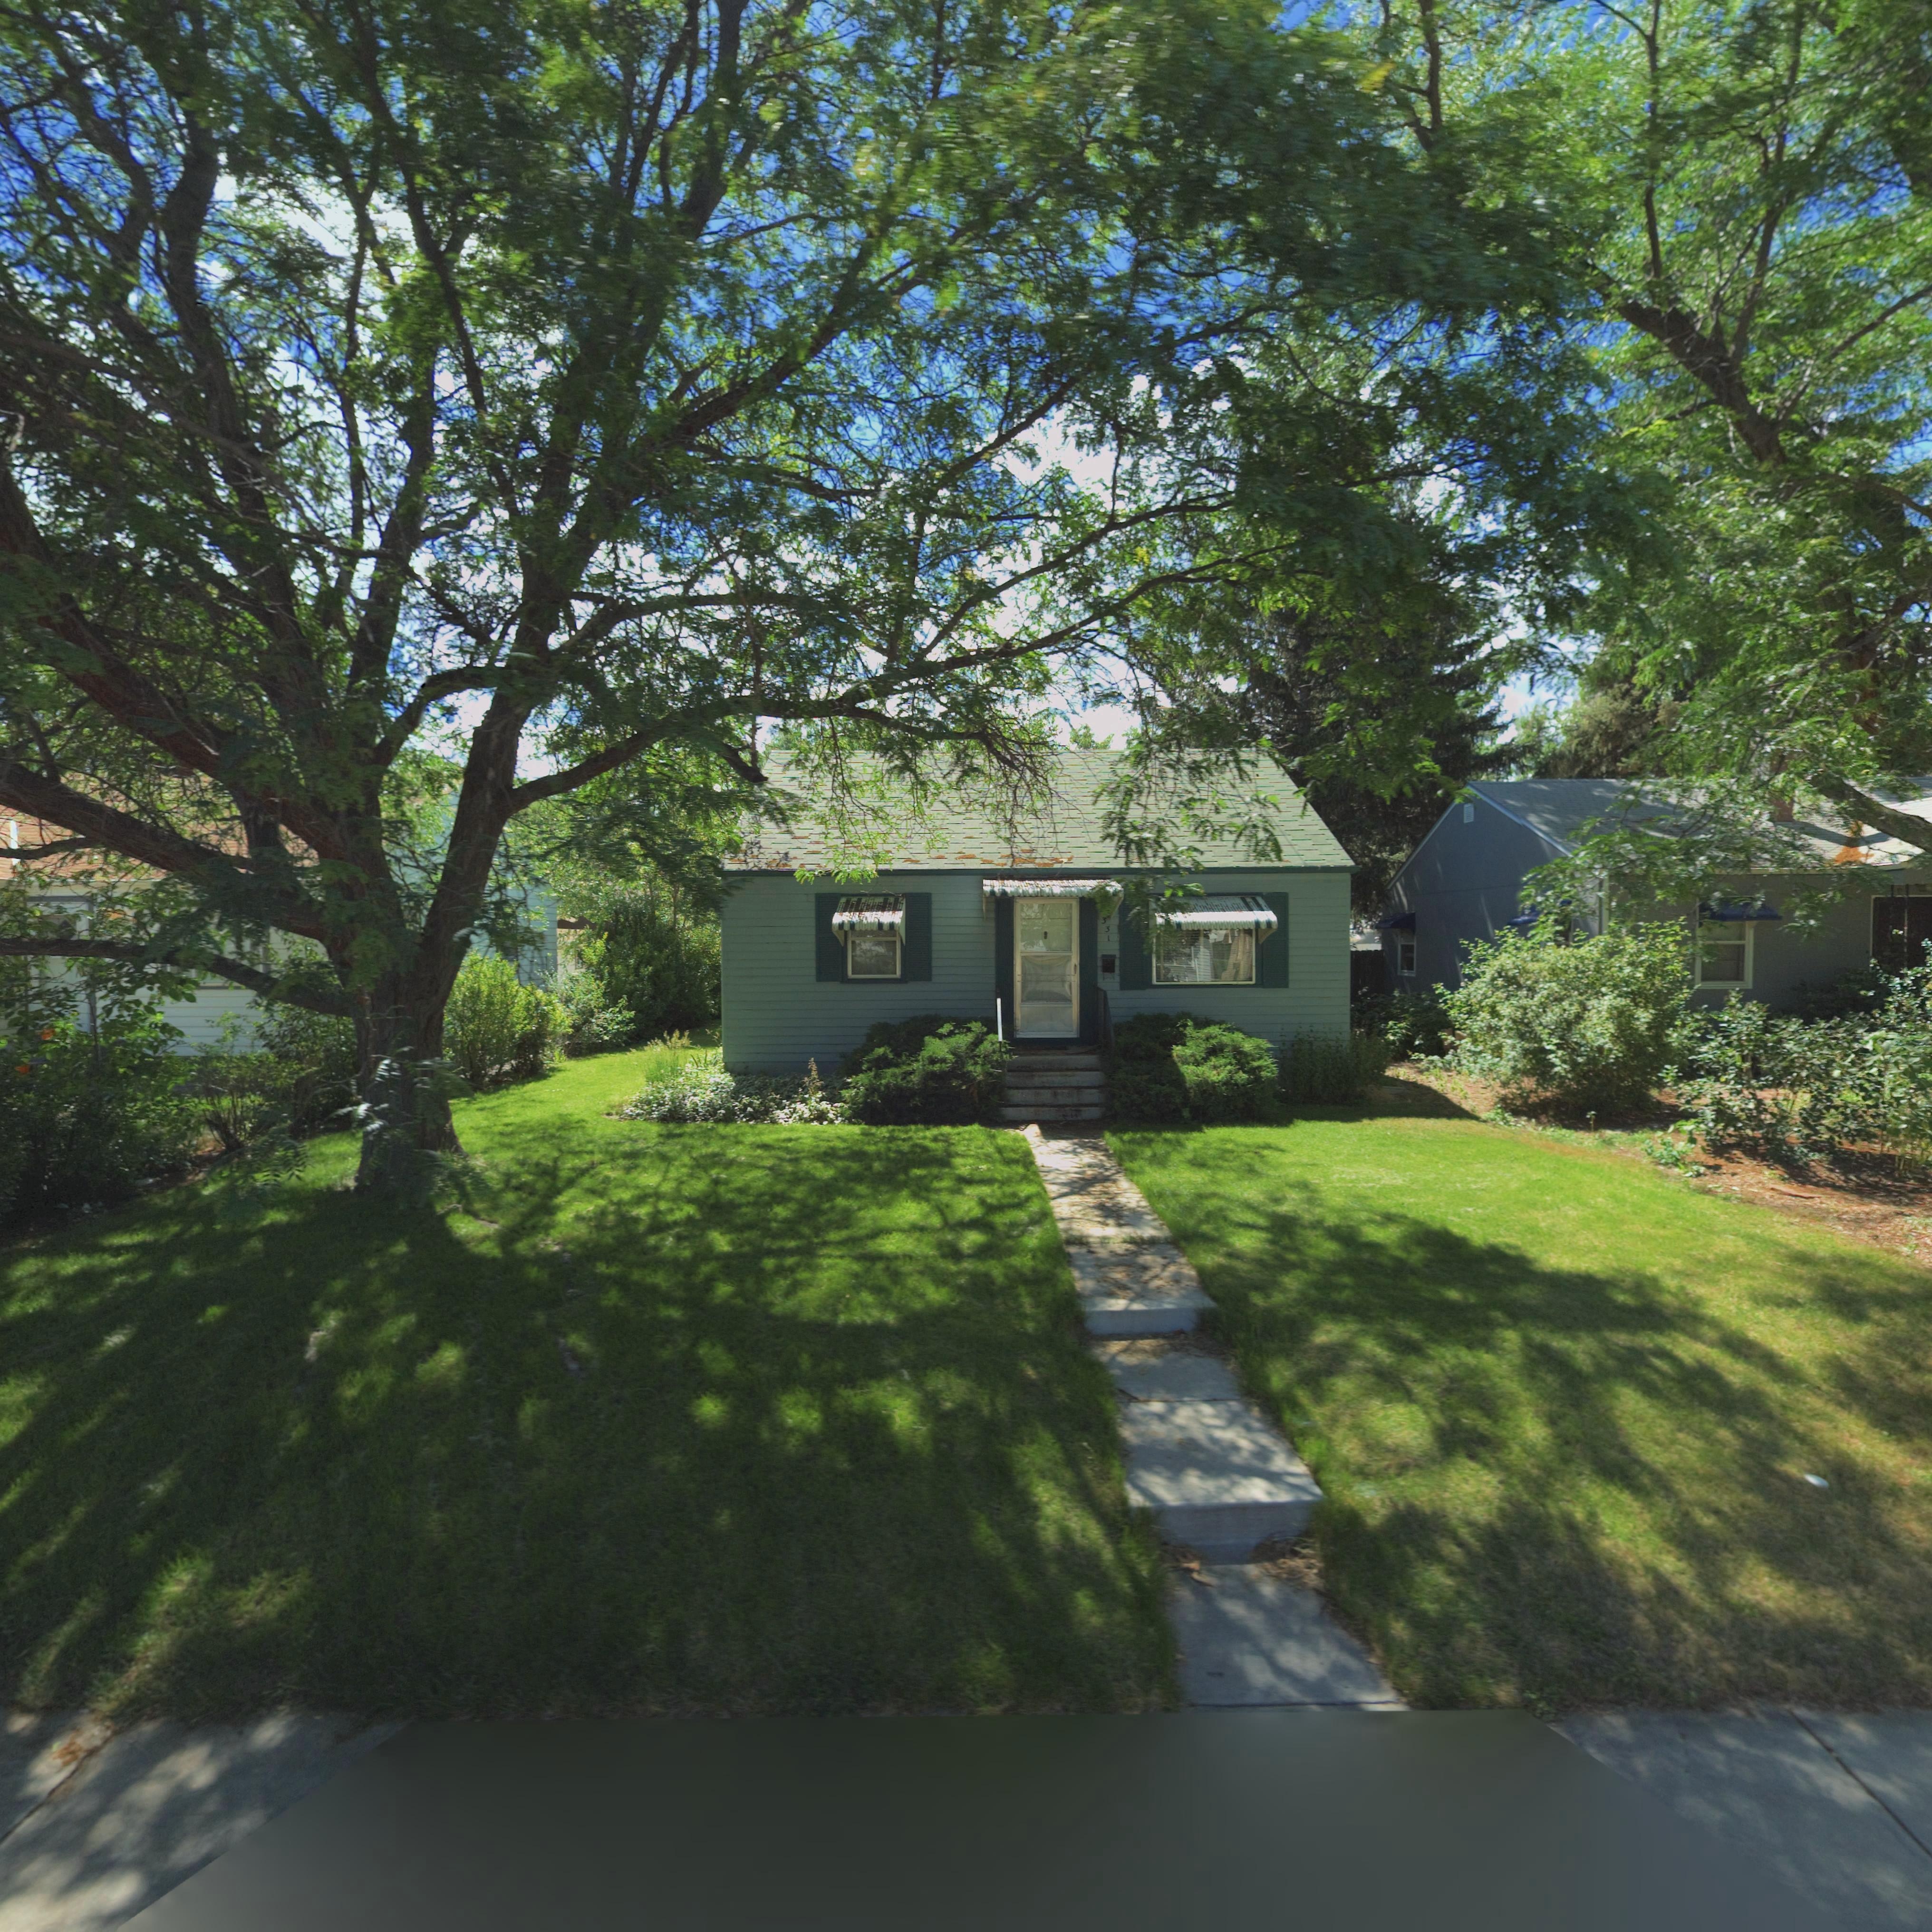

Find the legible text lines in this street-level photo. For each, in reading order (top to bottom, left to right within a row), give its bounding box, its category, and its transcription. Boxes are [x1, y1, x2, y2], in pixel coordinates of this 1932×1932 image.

[1101, 915, 1112, 943] StreetNumber: 331